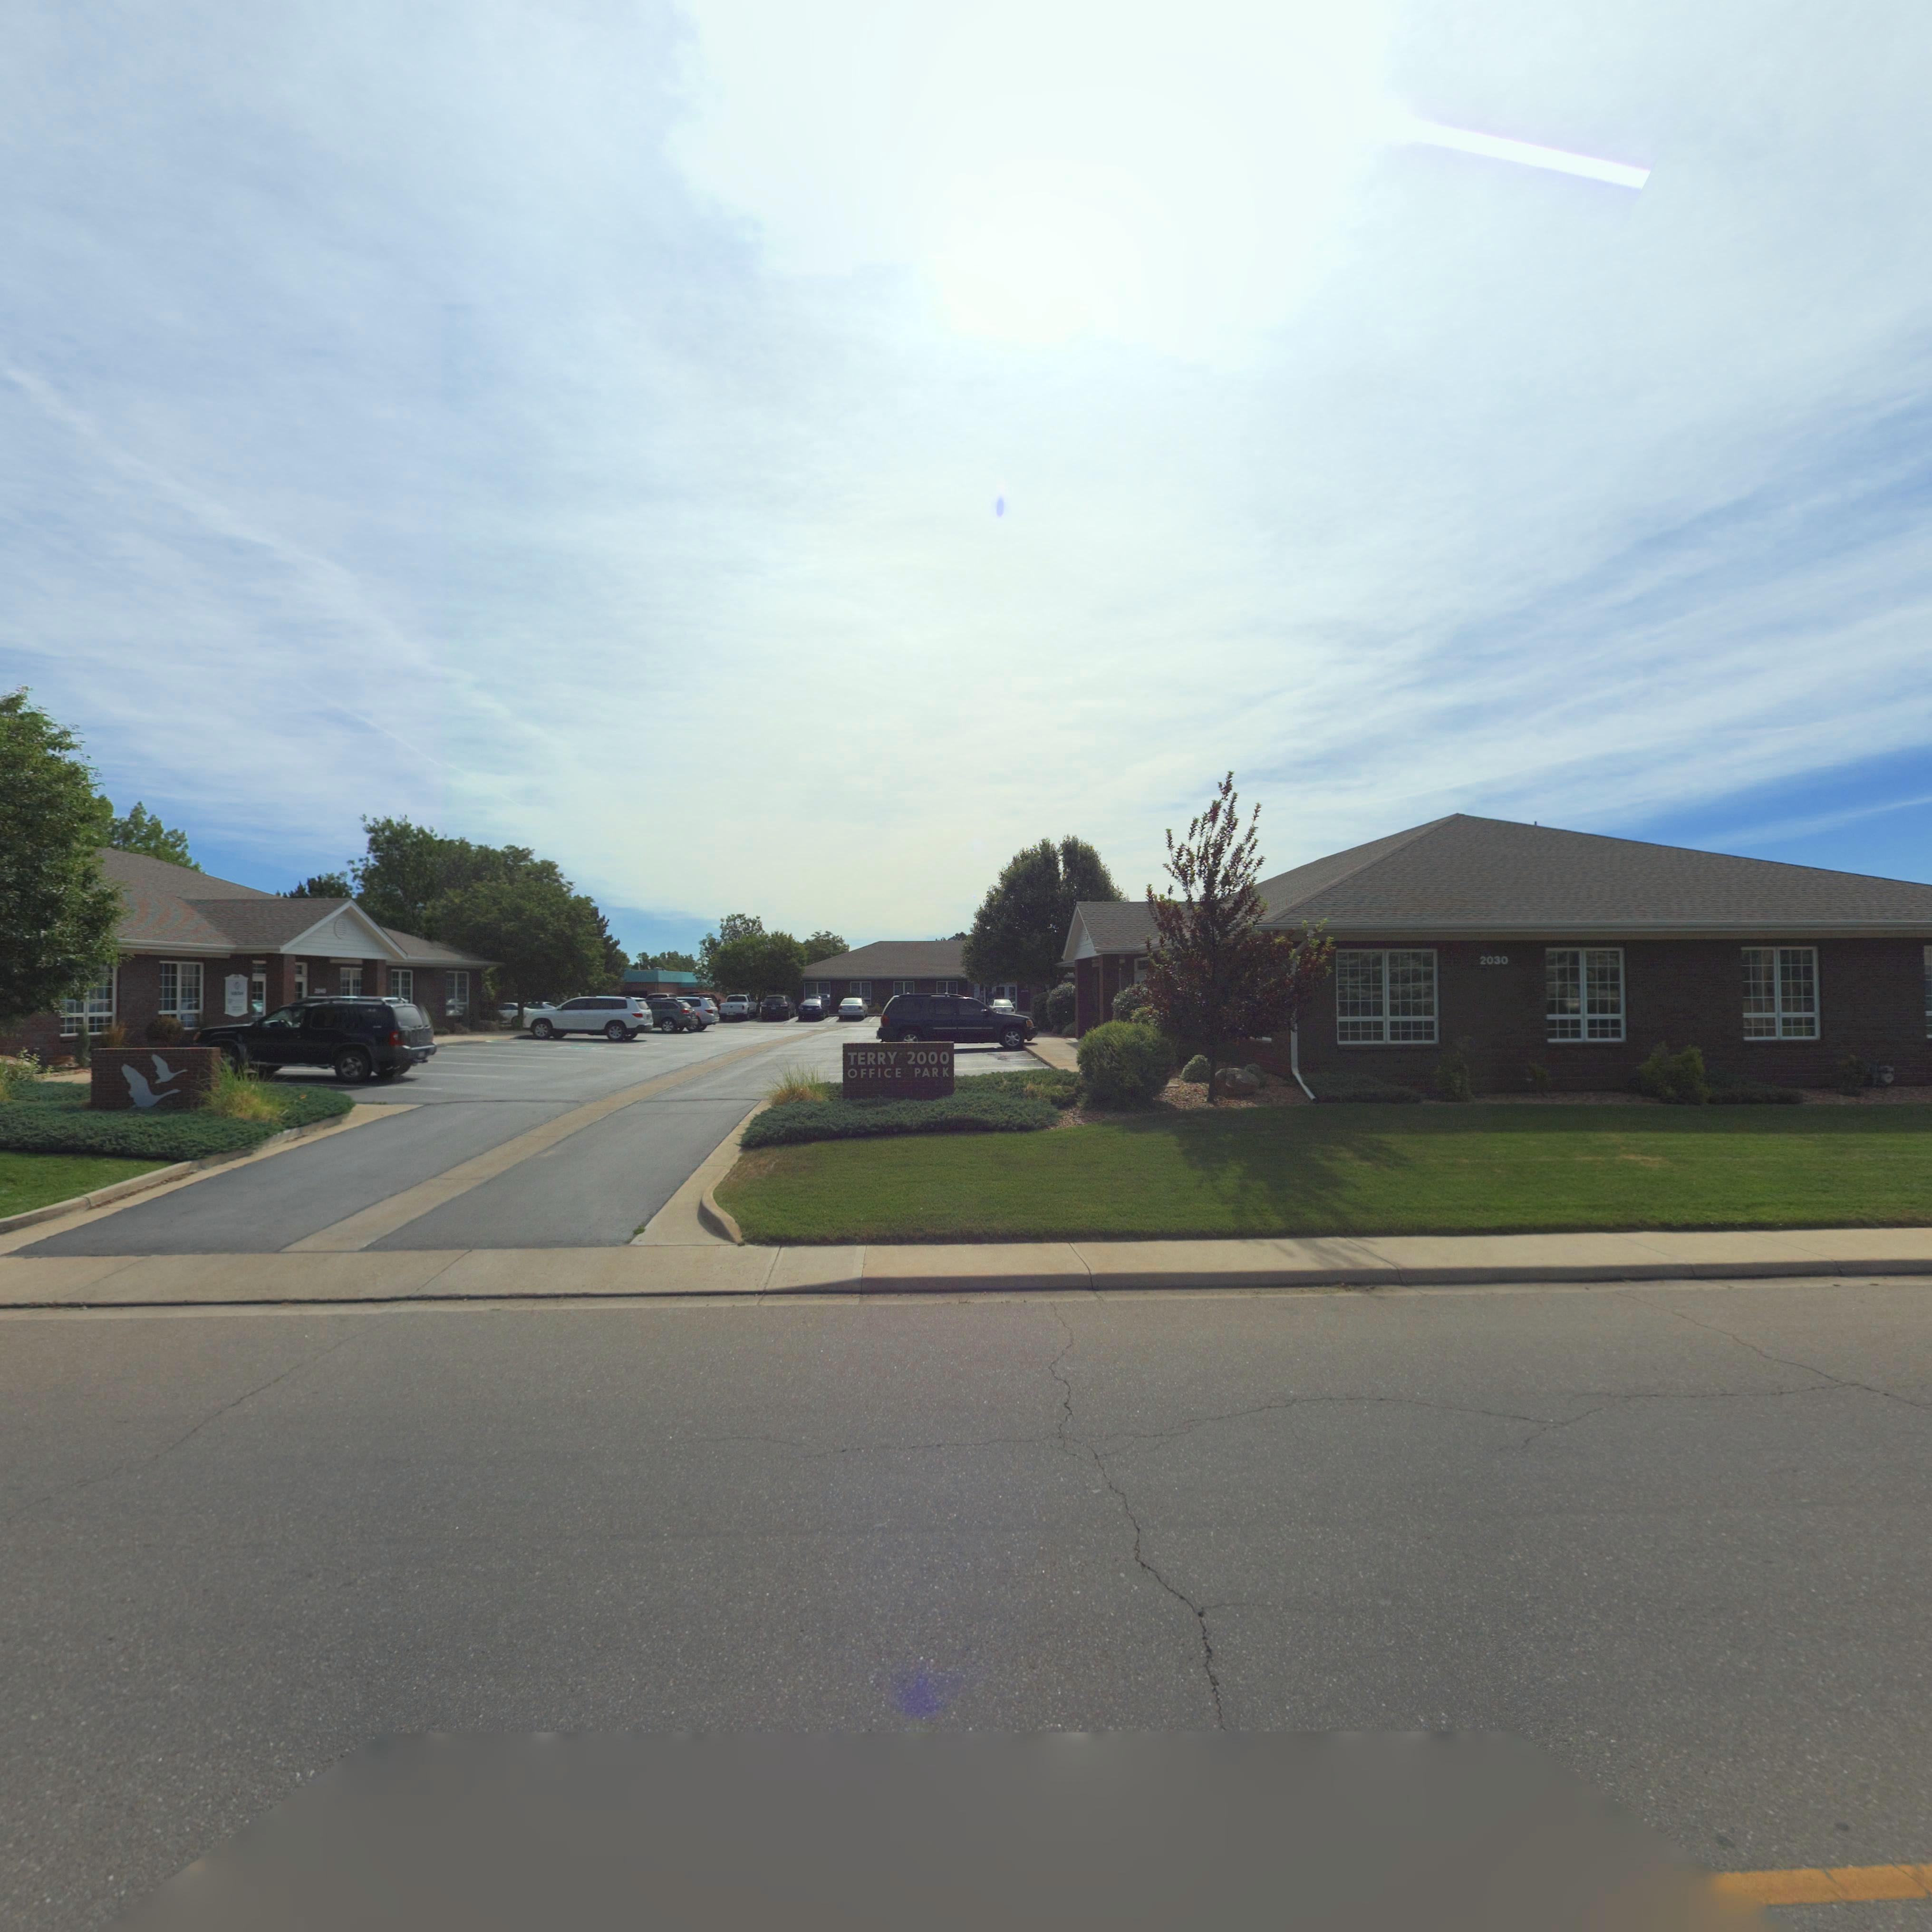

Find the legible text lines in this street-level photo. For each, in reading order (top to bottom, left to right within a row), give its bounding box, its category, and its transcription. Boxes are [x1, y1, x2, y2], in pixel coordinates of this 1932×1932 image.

[1479, 955, 1508, 965] StreetNumber: 2030
[314, 988, 327, 994] StreetNumber: 2***
[906, 1051, 949, 1064] StreetNumber: 2000